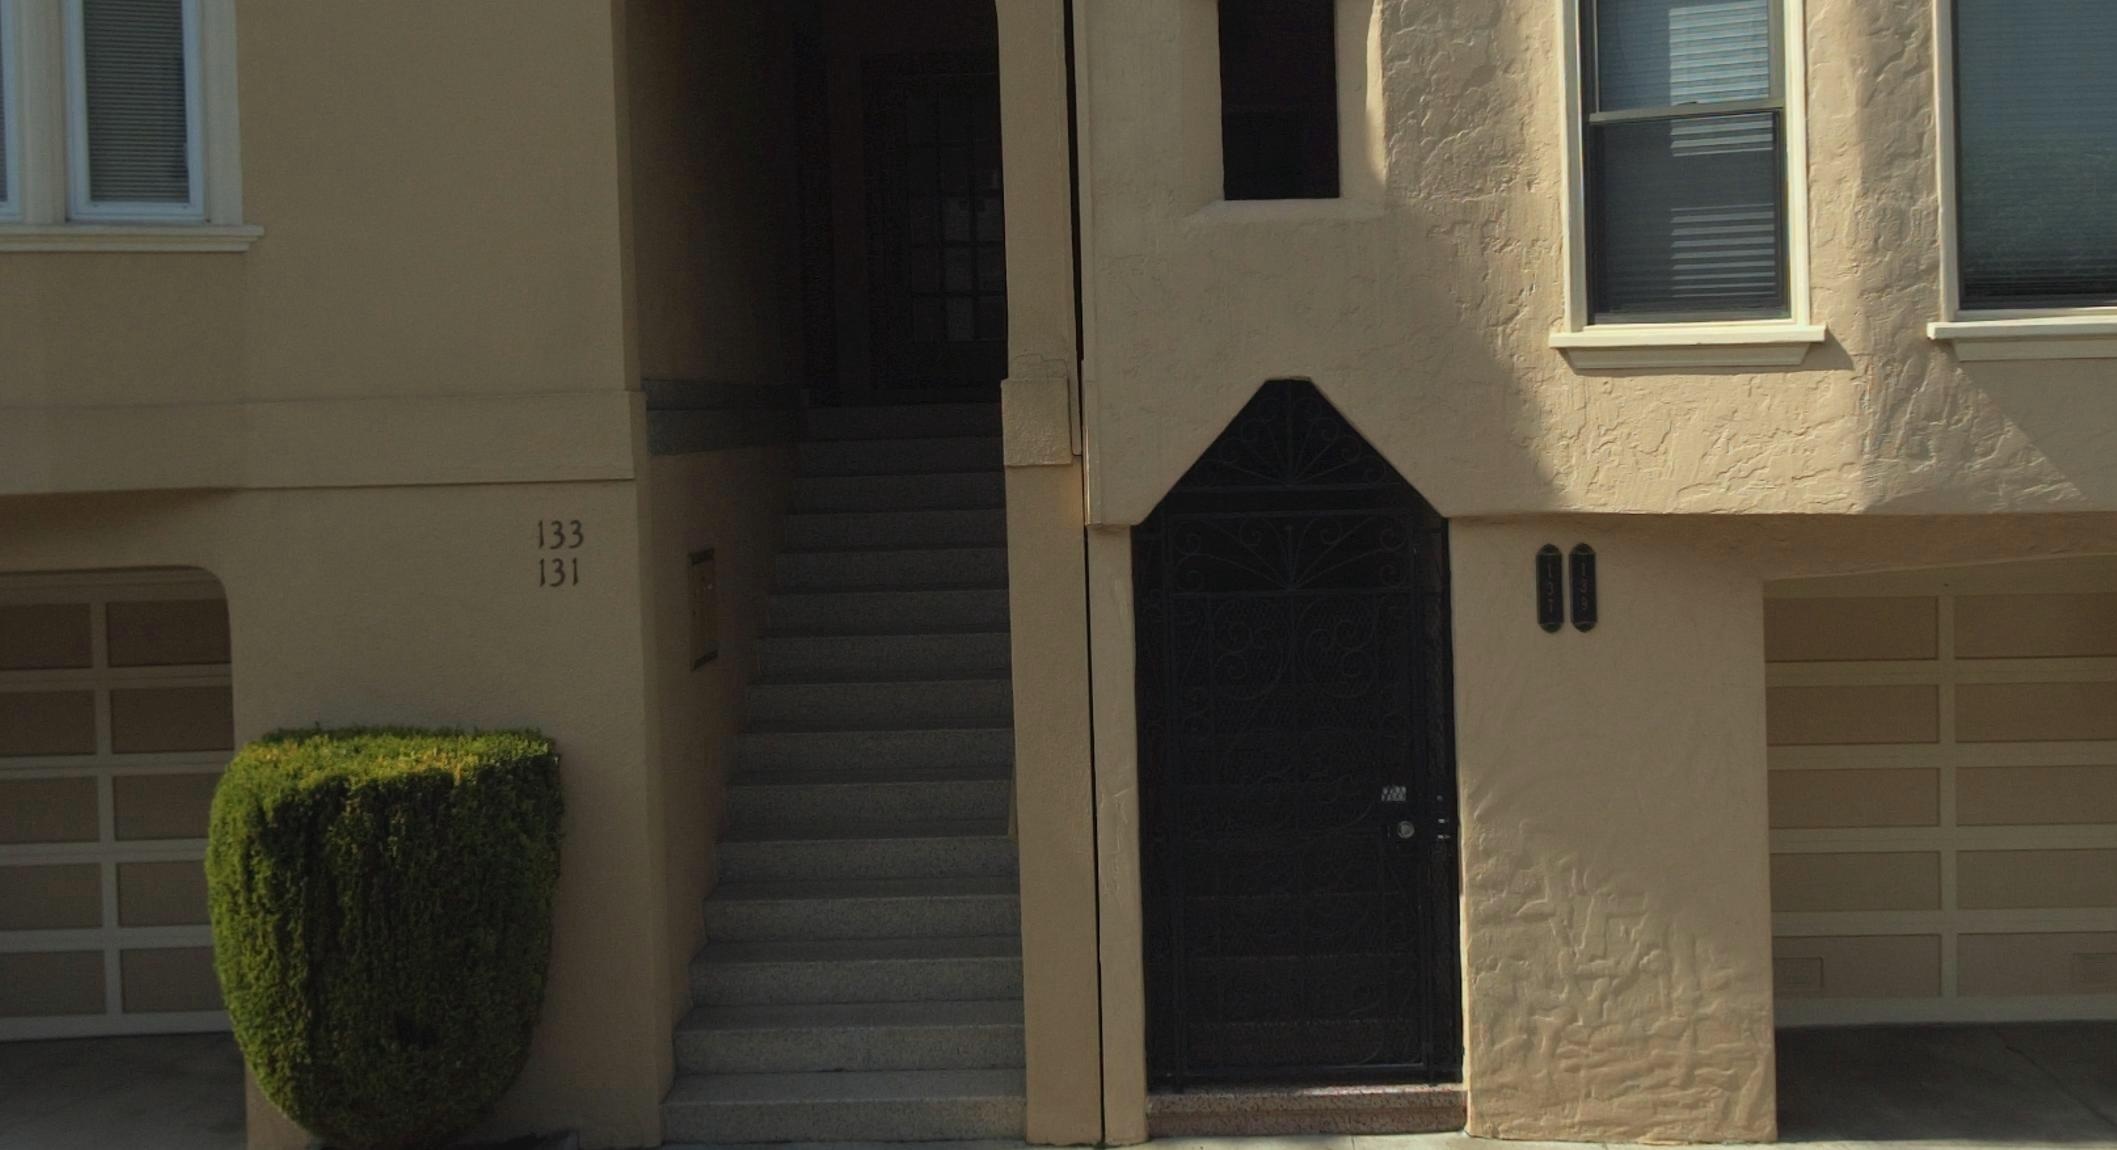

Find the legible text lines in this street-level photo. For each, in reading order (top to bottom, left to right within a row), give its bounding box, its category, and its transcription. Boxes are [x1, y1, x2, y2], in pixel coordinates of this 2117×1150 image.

[533, 517, 587, 553] StreetNumber: 133
[536, 553, 582, 591] StreetNumber: 131
[1545, 562, 1555, 615] StreetNumber: 137
[1577, 558, 1590, 613] StreetNumber: 139